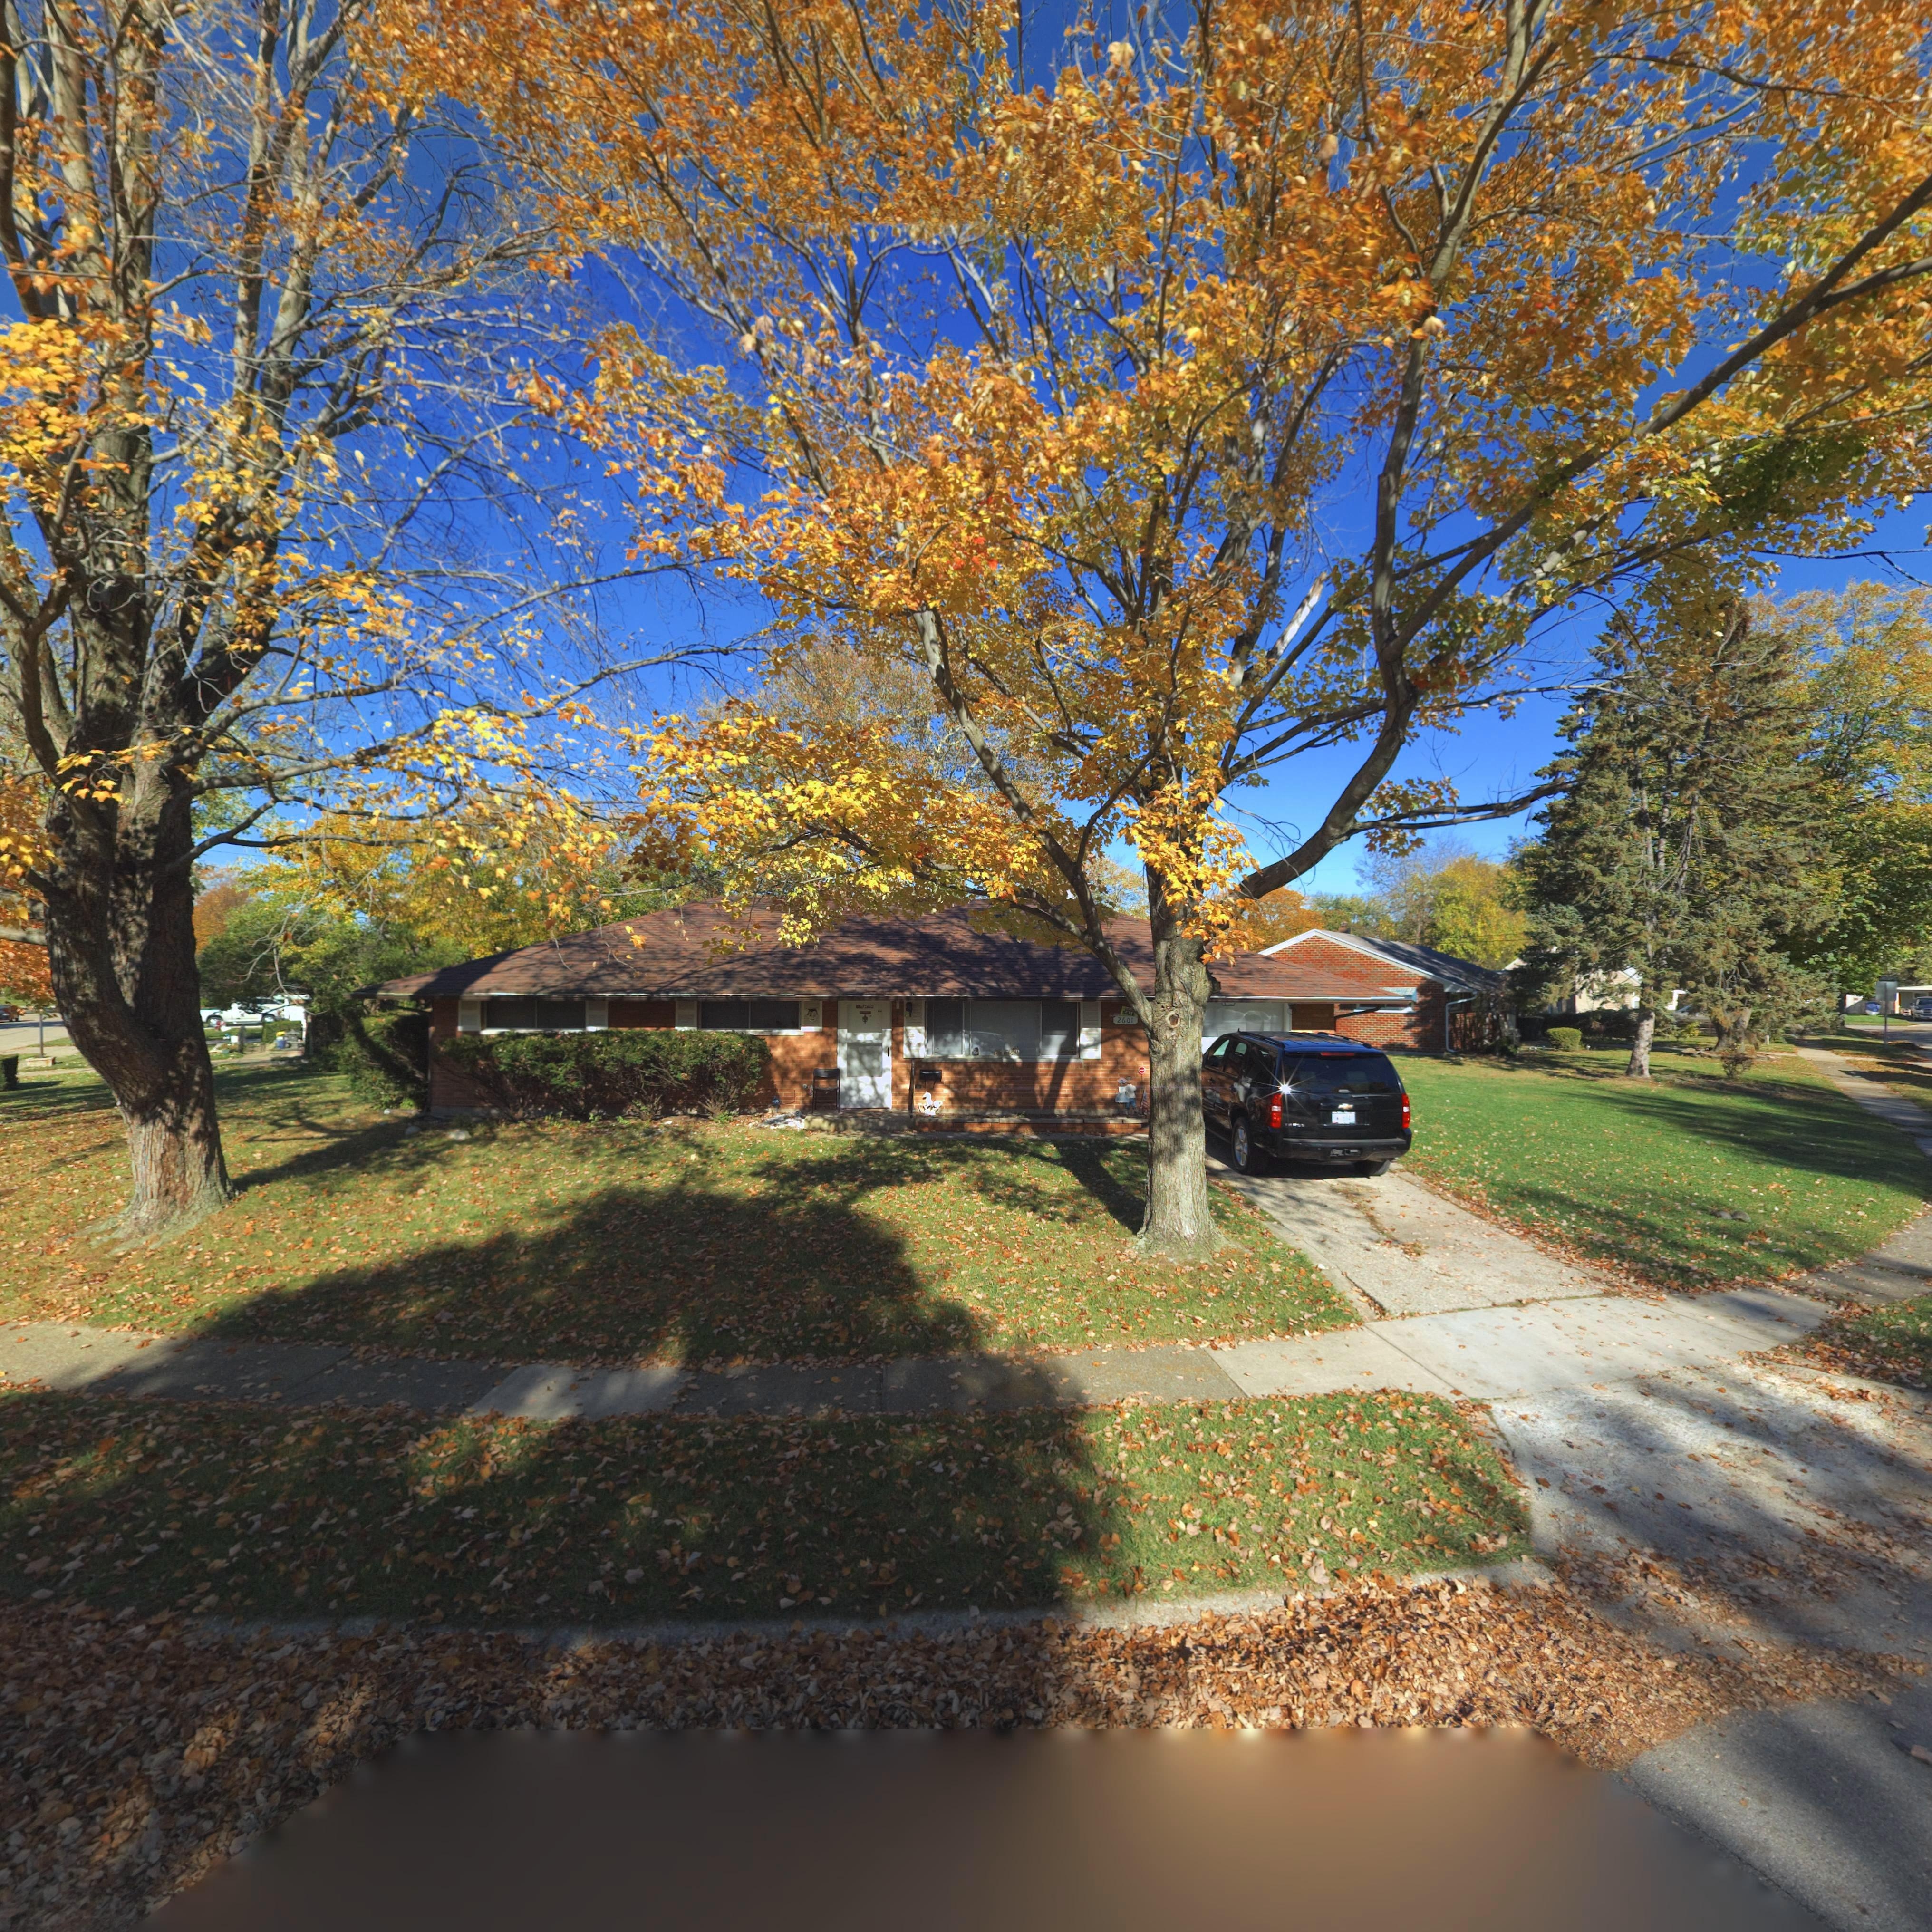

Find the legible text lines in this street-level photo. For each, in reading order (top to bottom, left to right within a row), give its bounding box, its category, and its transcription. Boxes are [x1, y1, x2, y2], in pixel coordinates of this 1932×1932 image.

[1116, 1016, 1134, 1024] StreetNumber: 2601